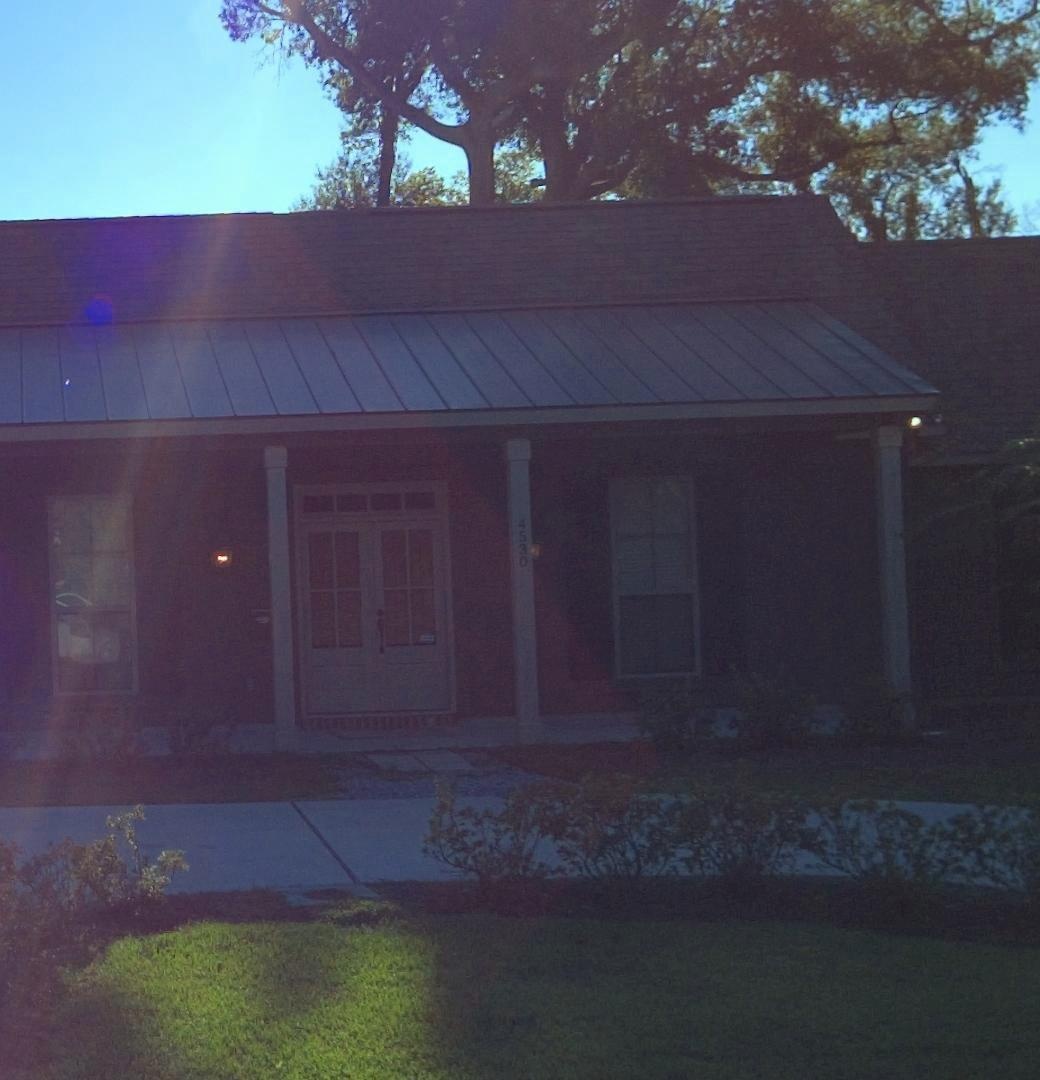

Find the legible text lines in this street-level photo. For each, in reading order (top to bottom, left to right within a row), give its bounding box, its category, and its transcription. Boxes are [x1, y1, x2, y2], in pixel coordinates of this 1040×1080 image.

[516, 515, 530, 570] StreetNumber: 4530